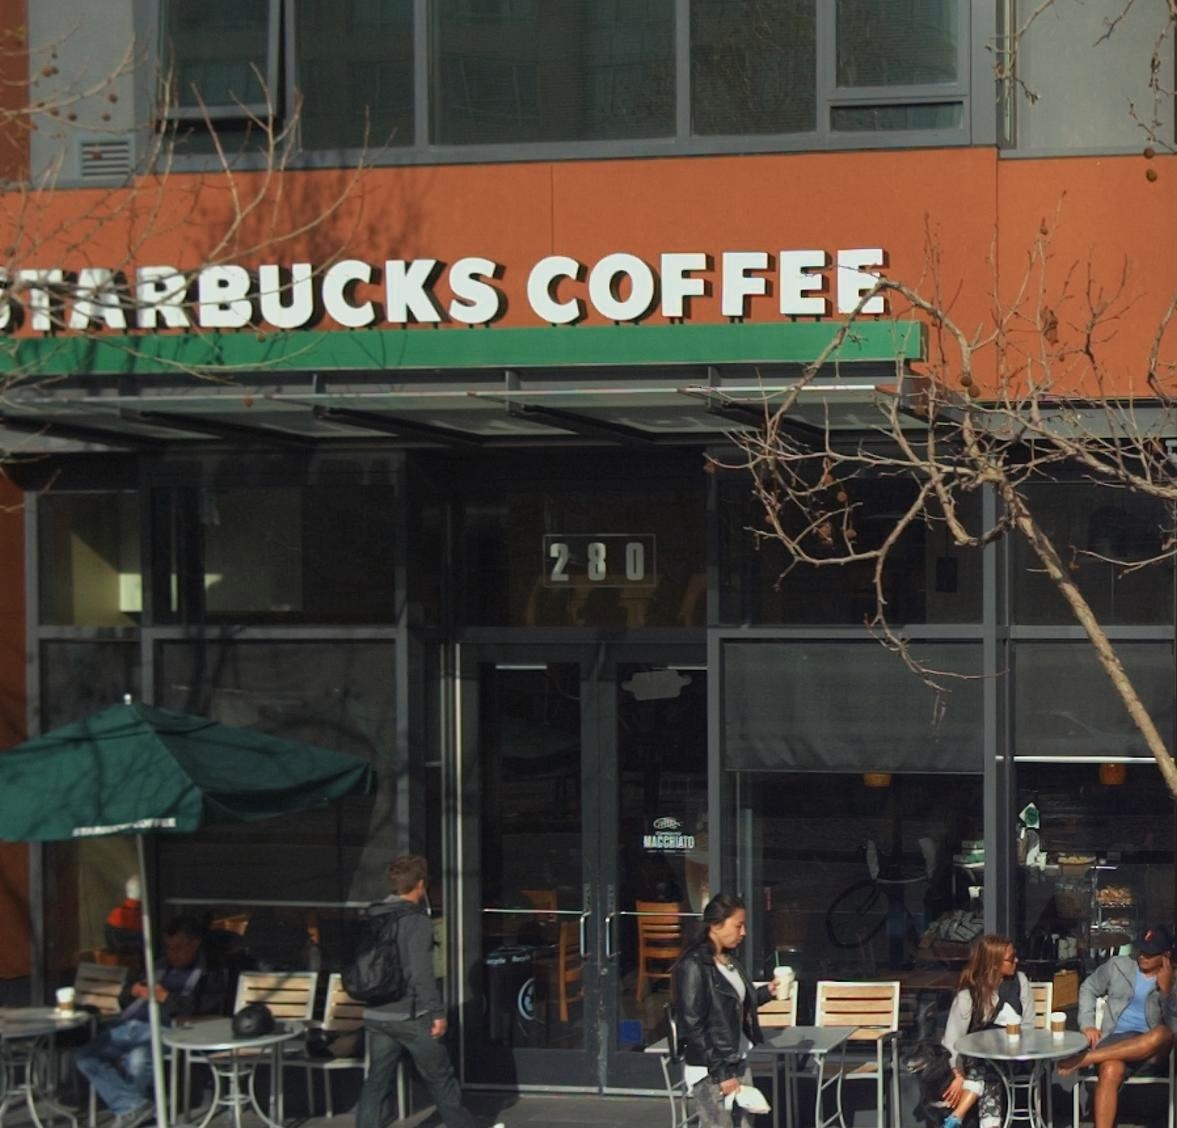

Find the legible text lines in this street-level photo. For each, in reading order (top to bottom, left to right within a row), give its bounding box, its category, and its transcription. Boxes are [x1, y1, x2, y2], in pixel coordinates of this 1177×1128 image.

[196, 245, 886, 330] BusinessName: BUCKS COFFE*
[547, 539, 649, 586] StreetNumber: 280
[641, 832, 697, 851] None: MACCH*ATO